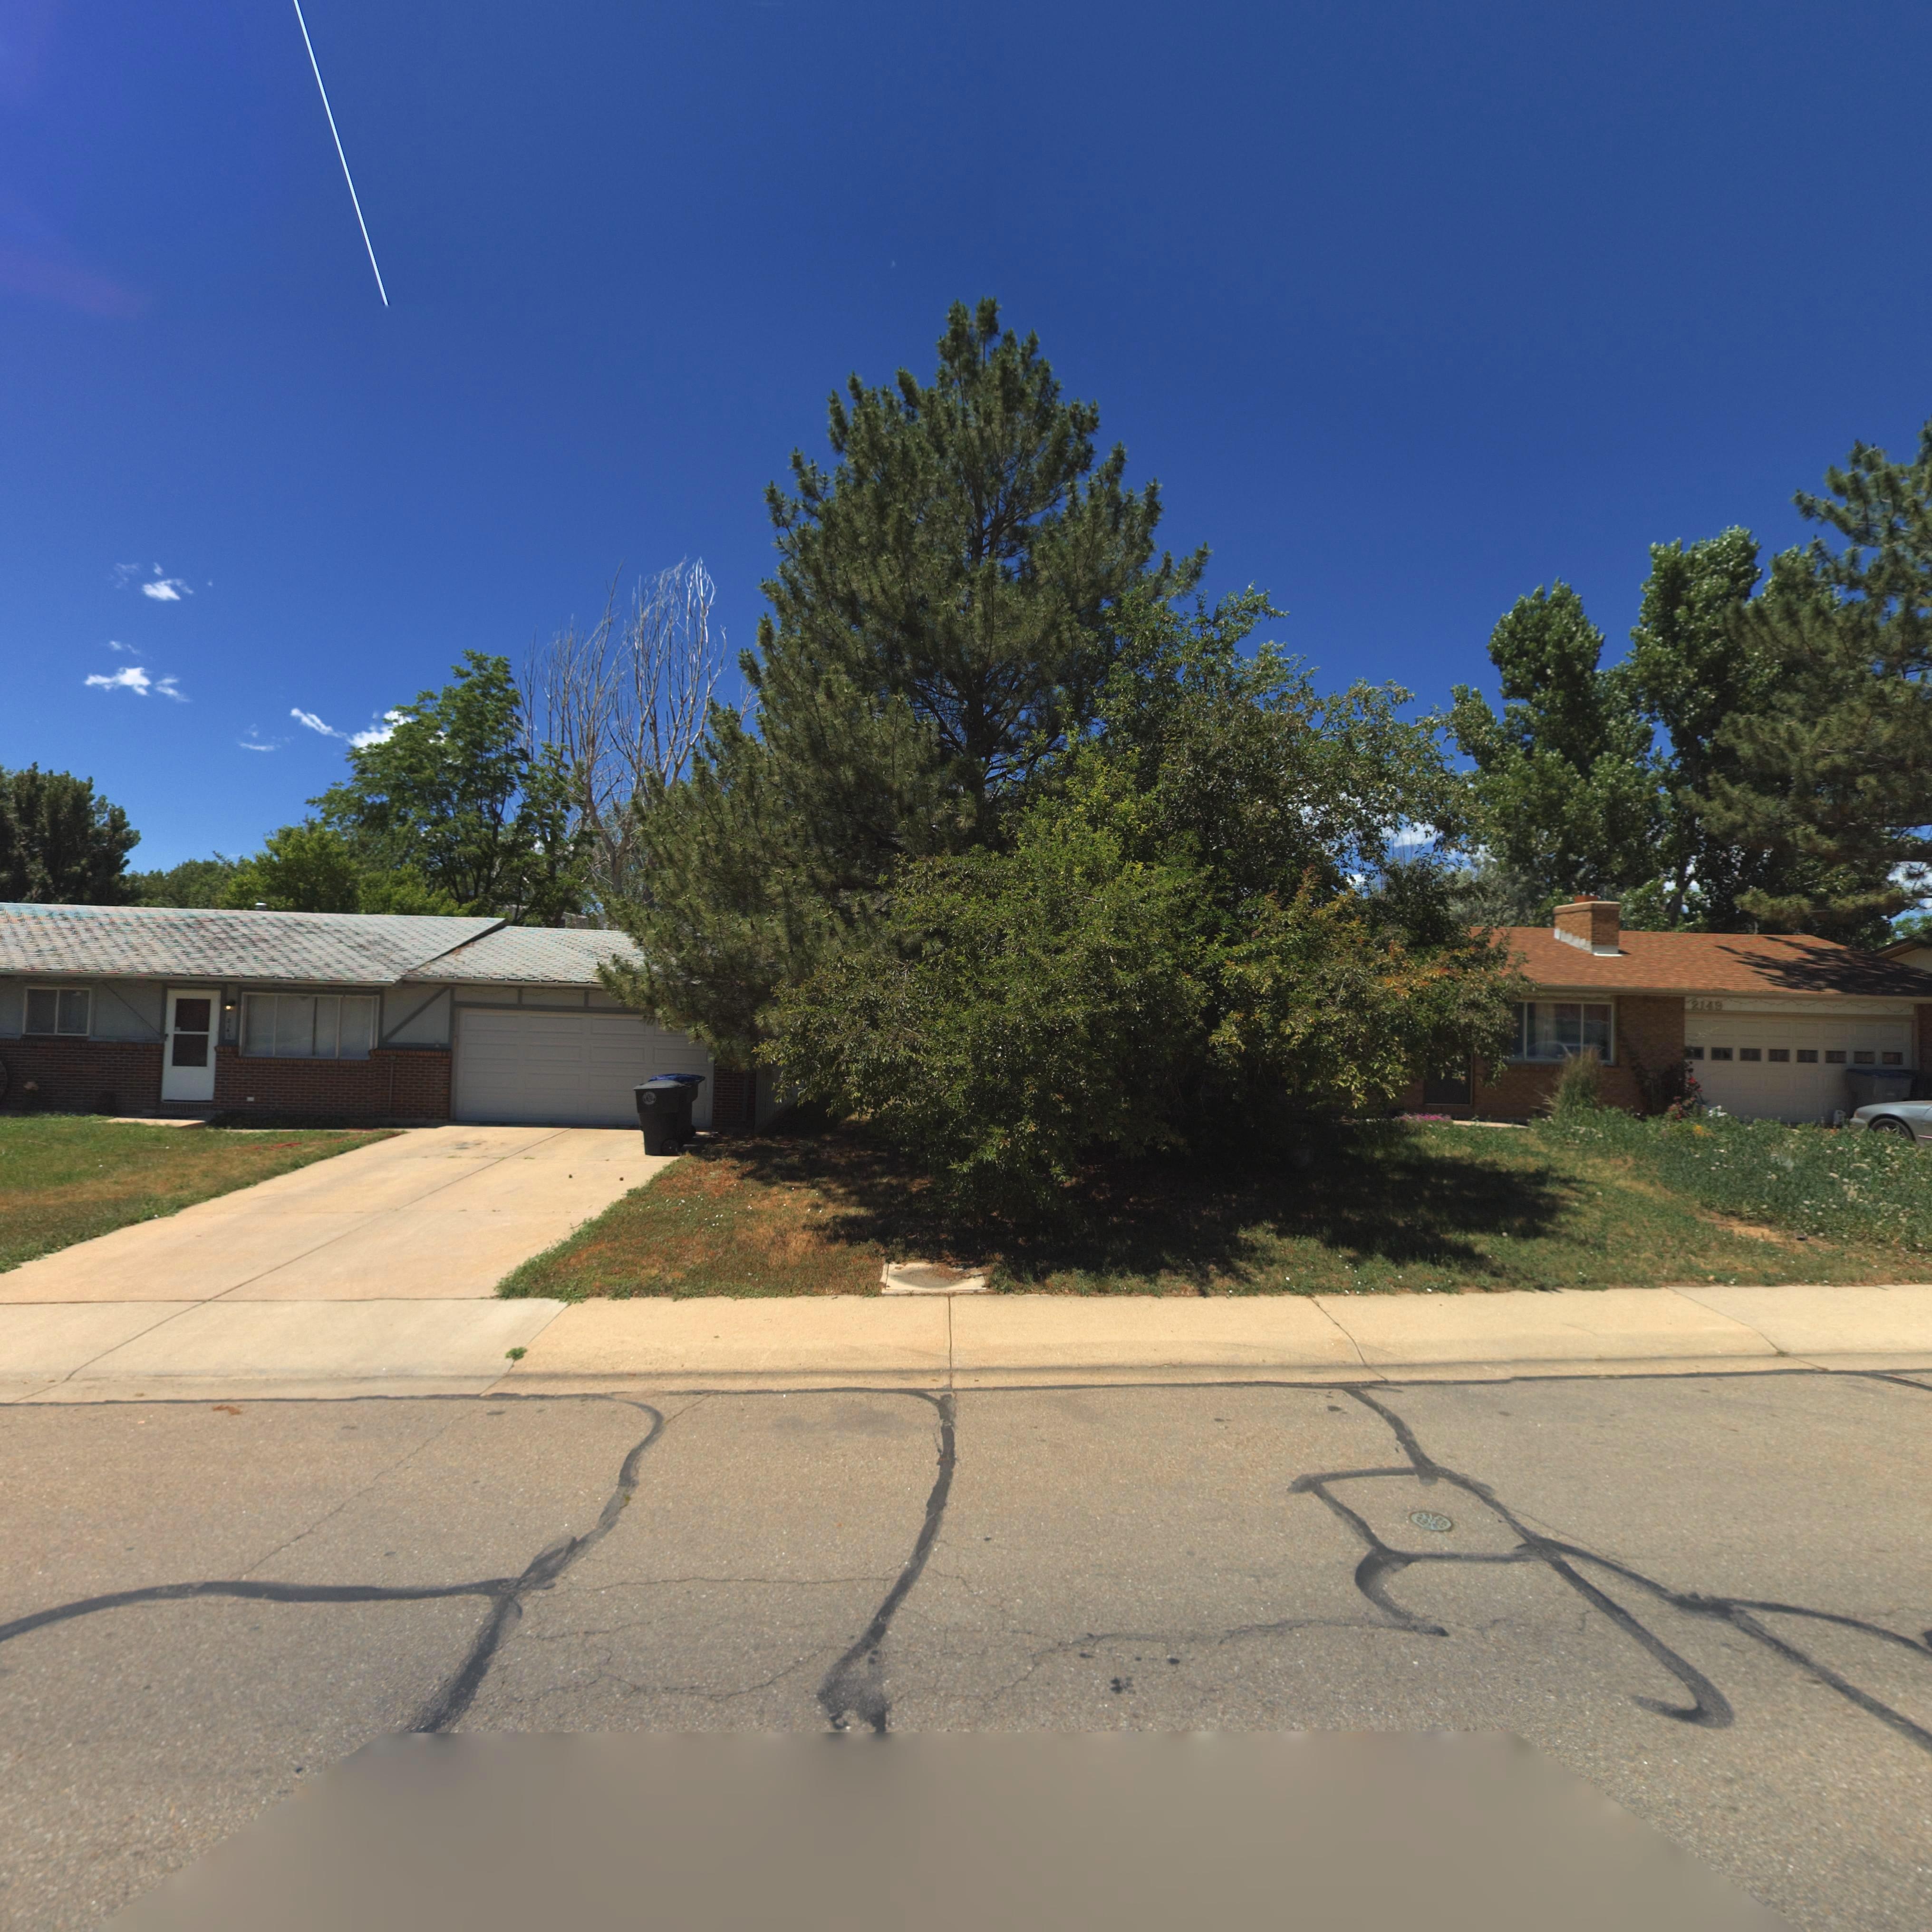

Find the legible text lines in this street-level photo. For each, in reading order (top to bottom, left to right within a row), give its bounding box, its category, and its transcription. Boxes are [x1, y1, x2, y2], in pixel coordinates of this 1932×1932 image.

[226, 1017, 231, 1037] StreetNumber: 2*4*